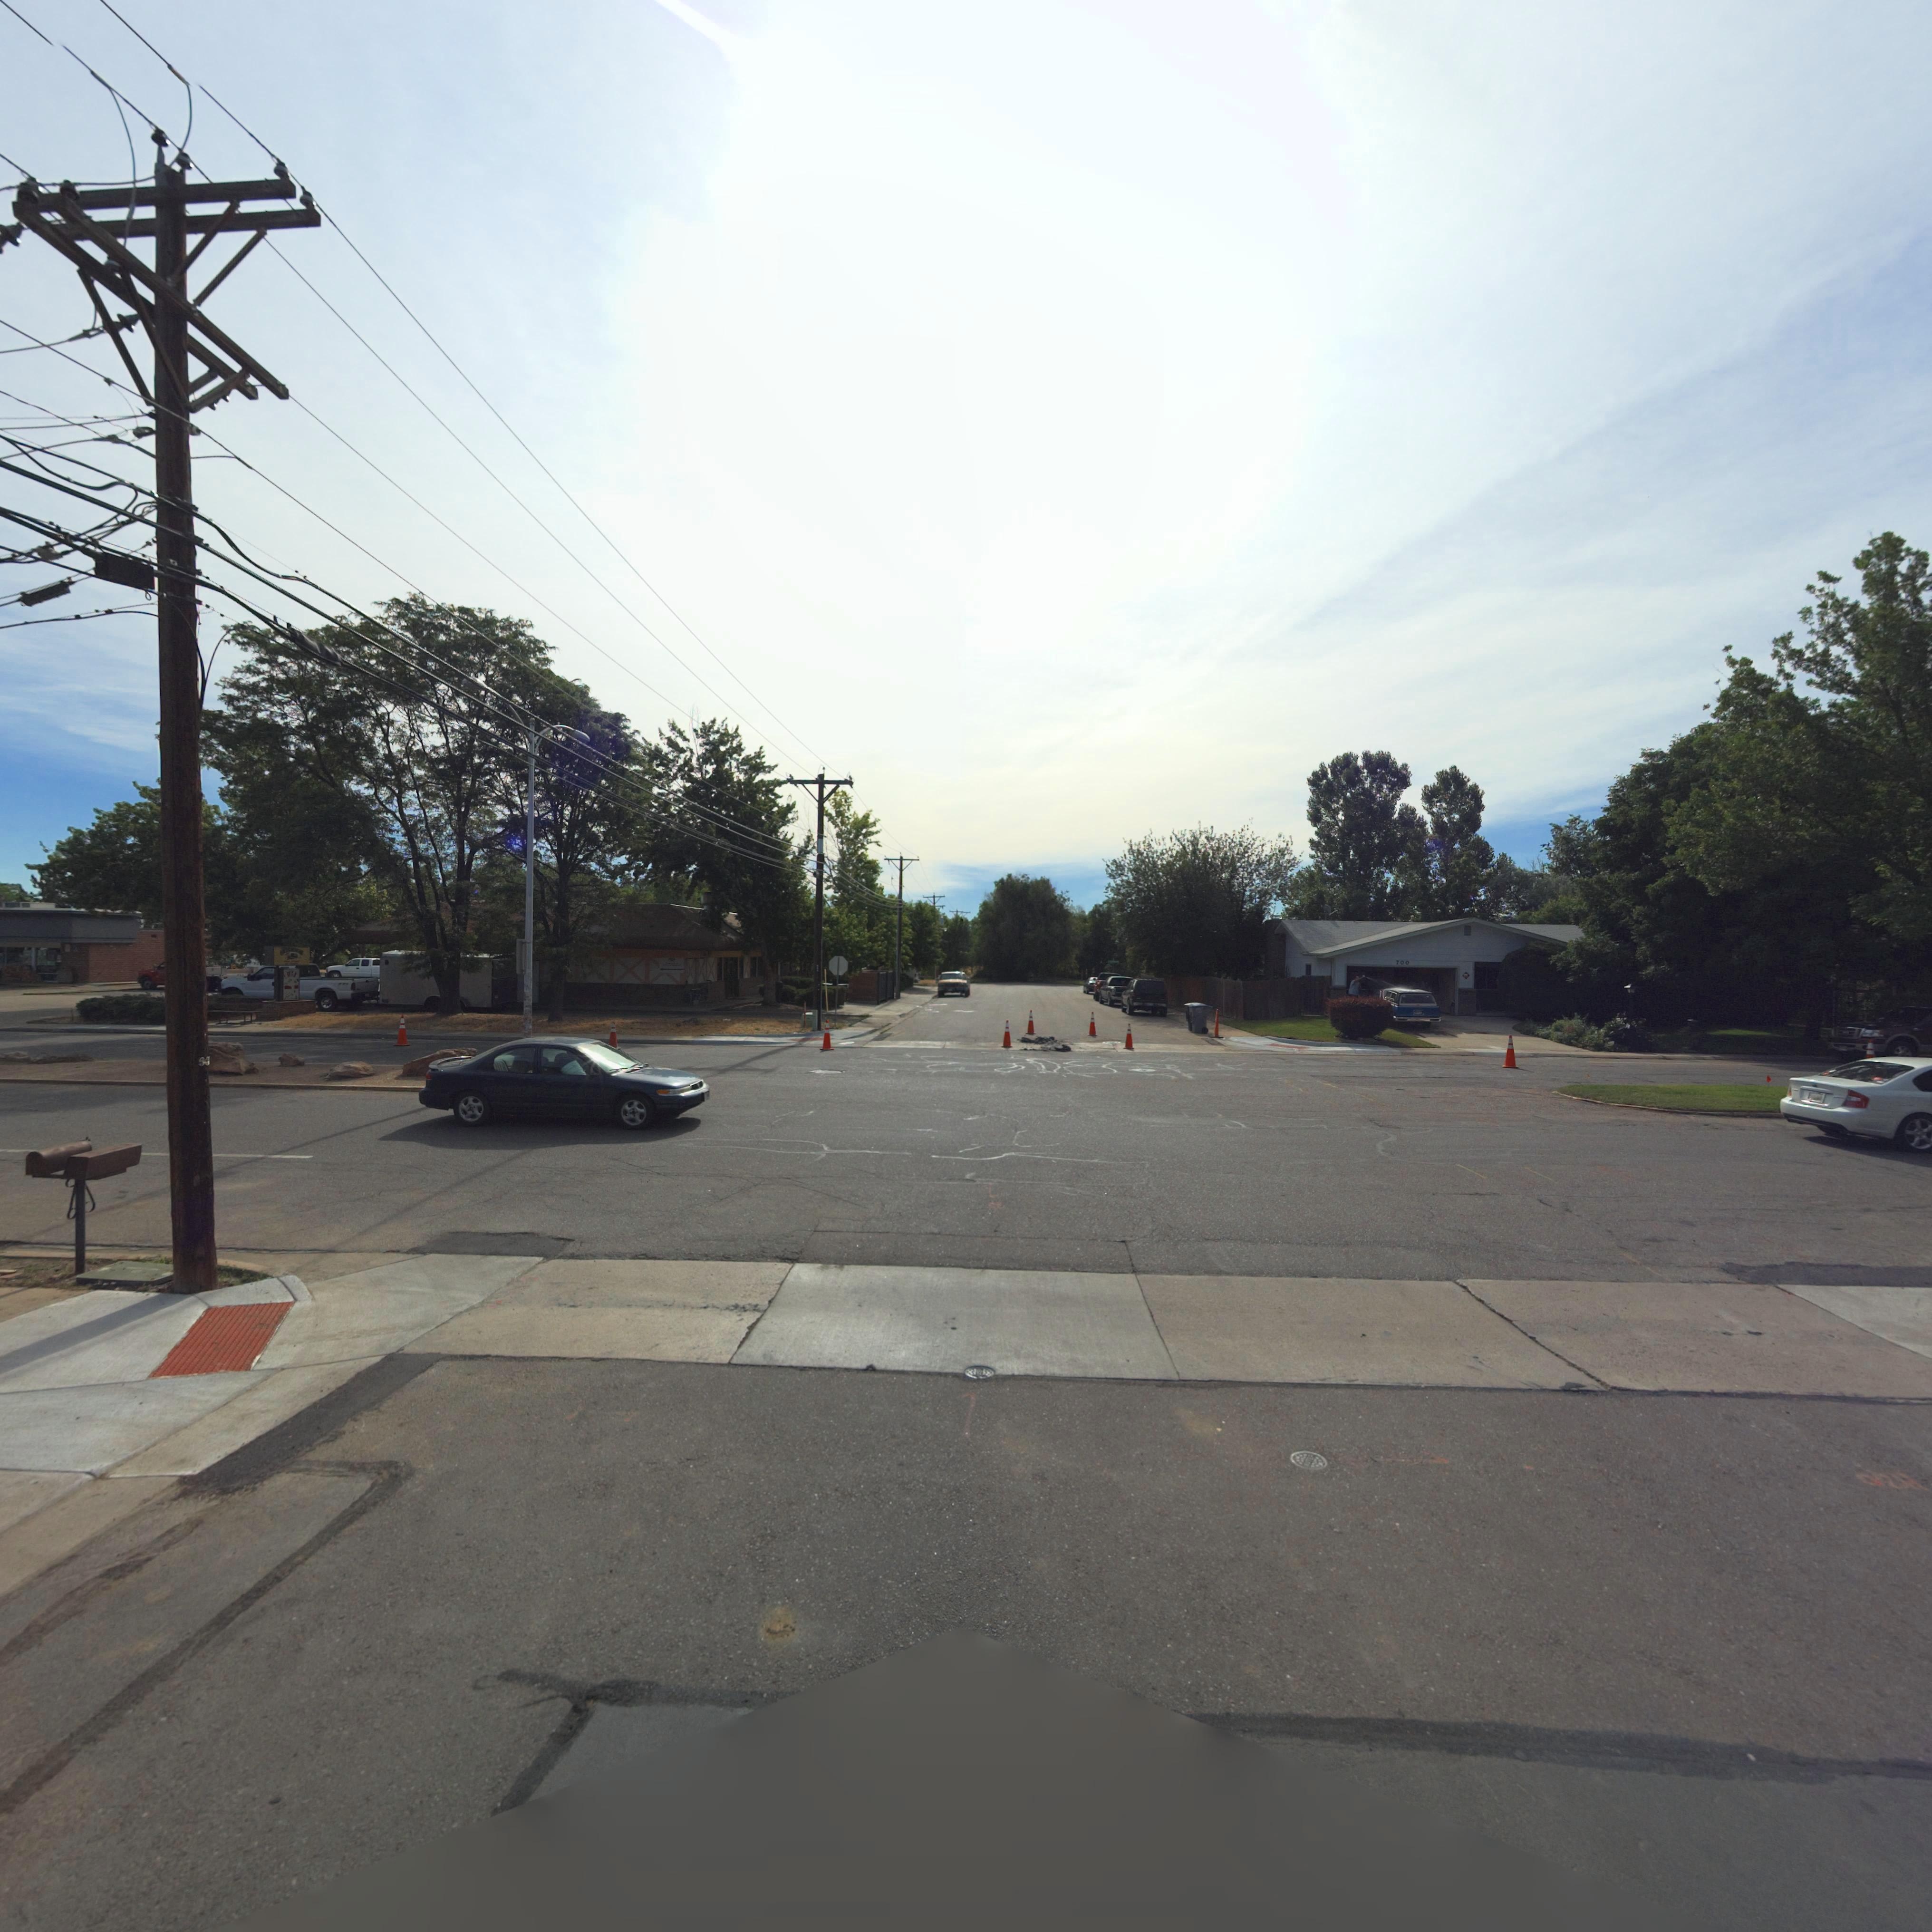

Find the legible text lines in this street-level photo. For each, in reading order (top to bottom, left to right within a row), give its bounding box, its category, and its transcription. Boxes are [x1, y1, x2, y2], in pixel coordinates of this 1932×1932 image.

[1396, 960, 1409, 965] StreetNumber: 700